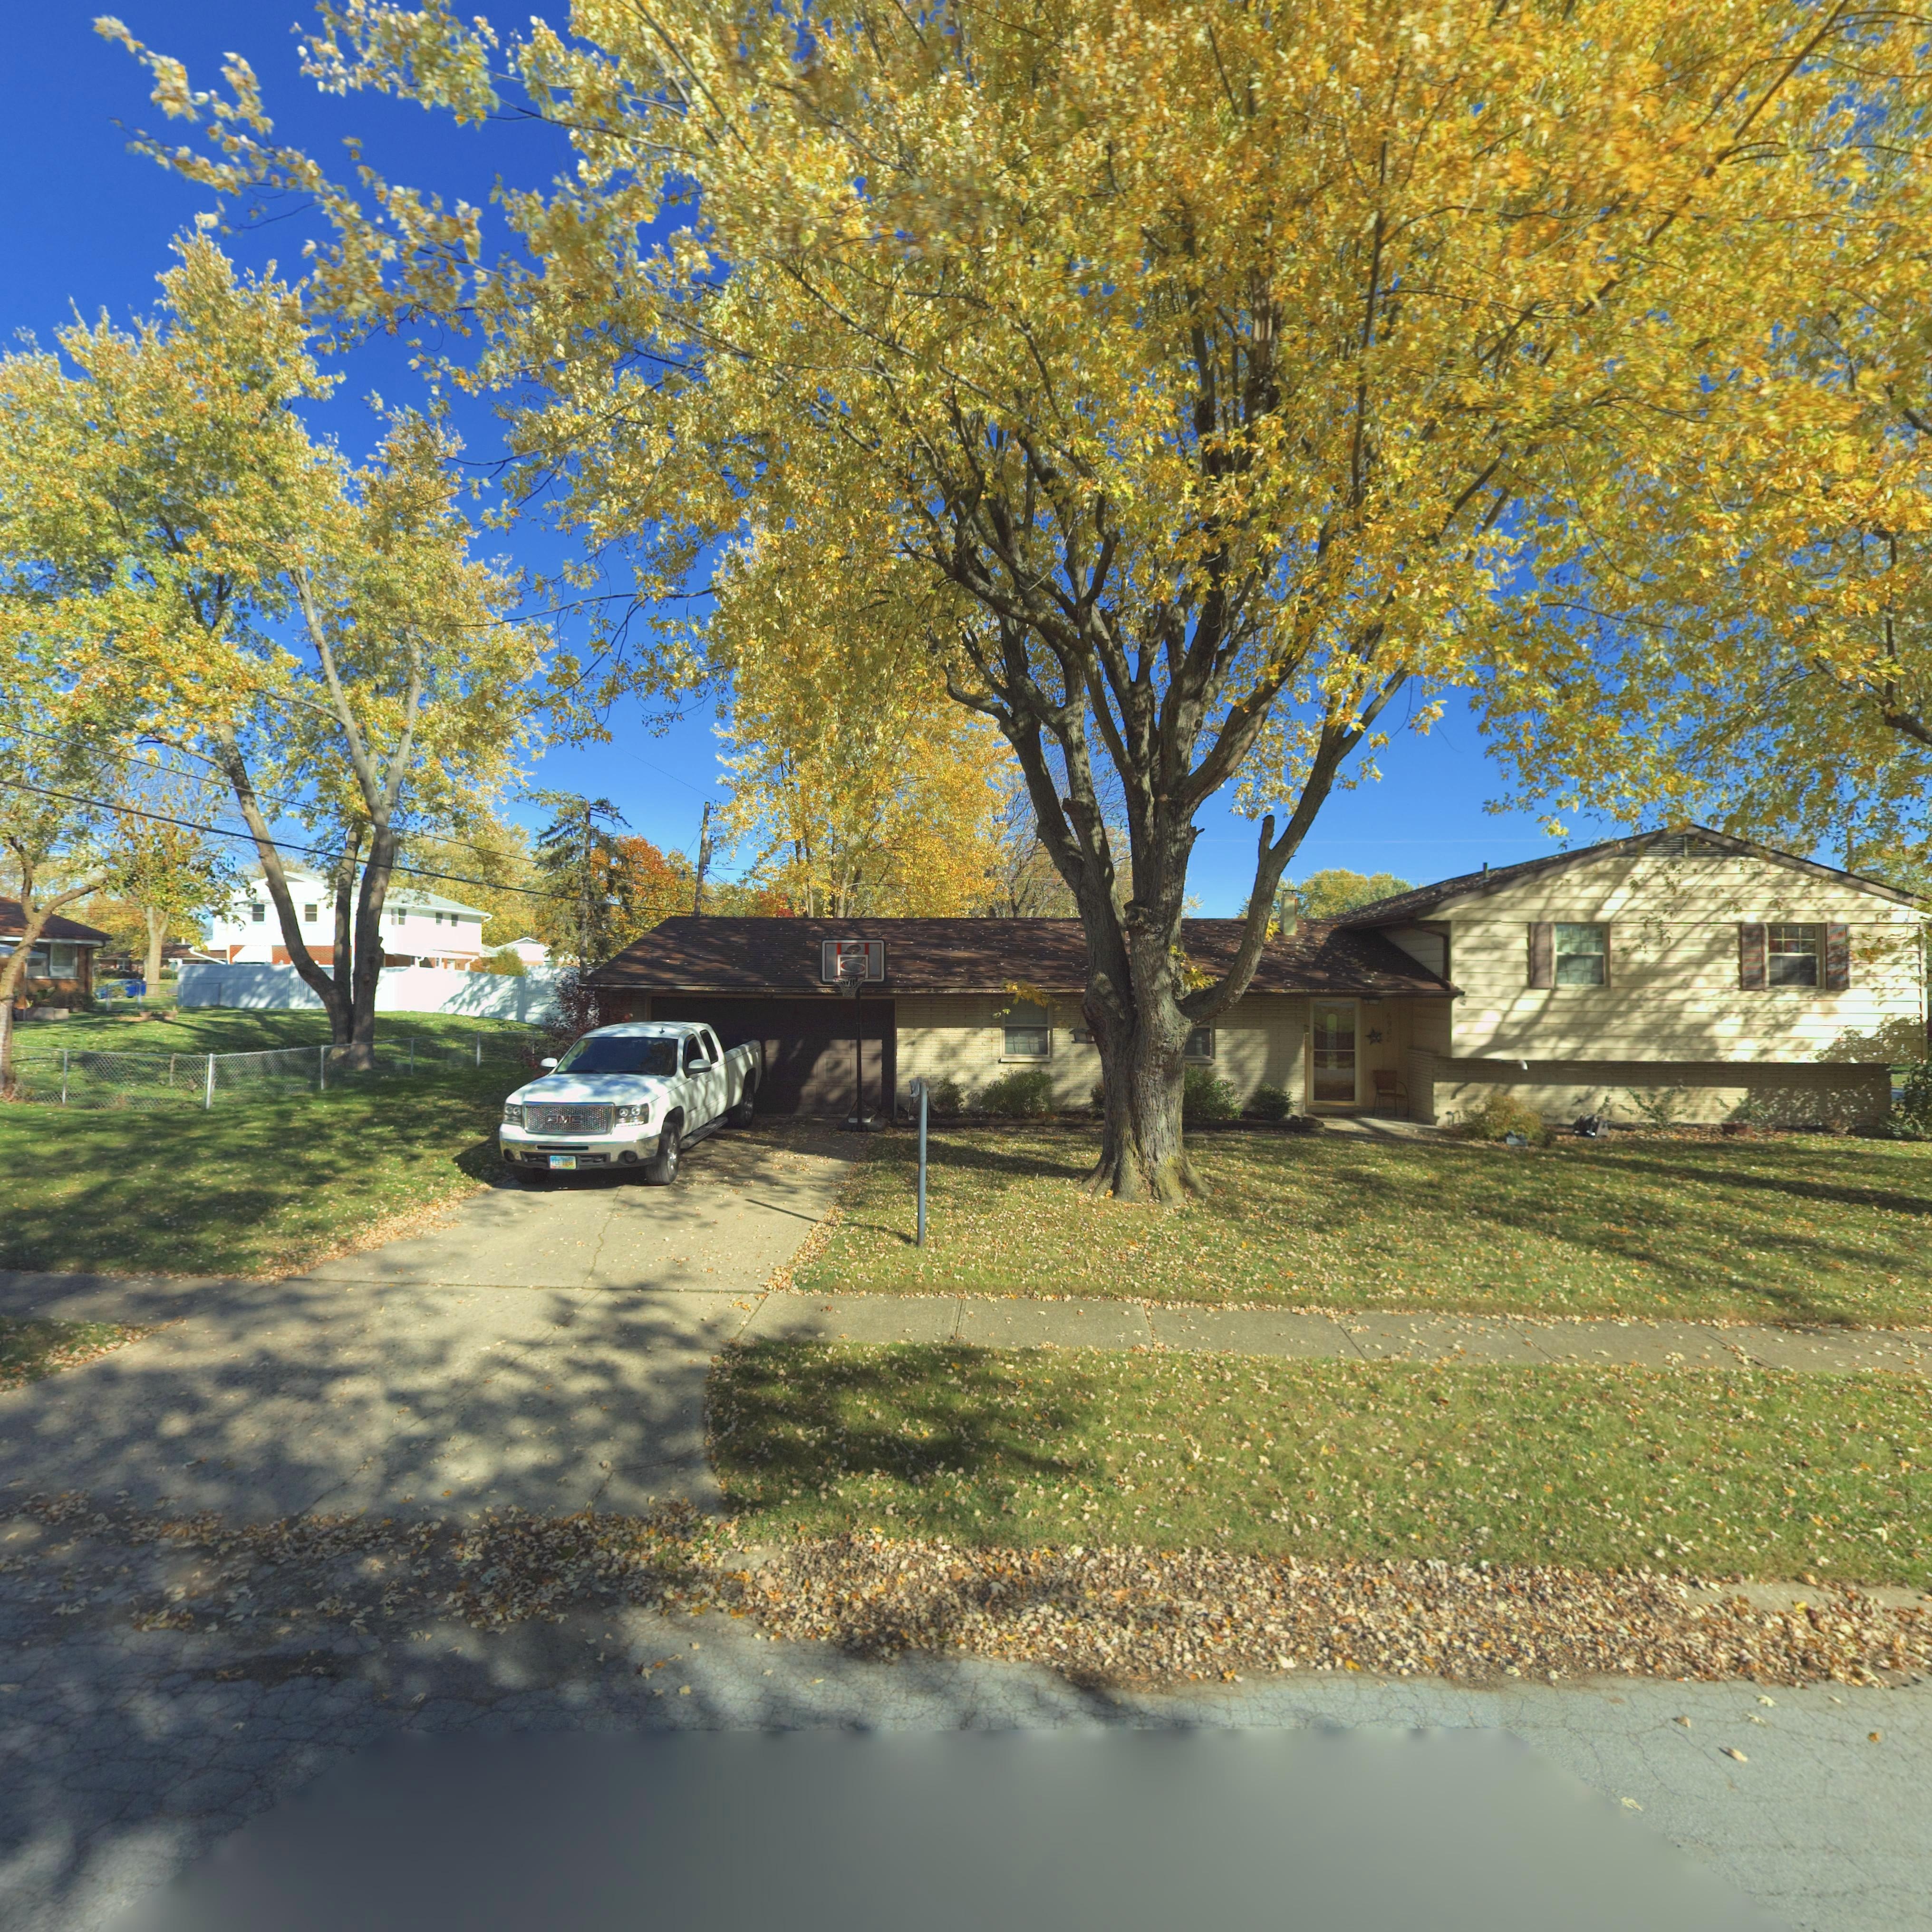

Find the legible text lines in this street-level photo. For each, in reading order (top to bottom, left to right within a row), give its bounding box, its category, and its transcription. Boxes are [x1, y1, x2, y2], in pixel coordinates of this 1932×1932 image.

[1385, 1011, 1393, 1044] StreetNumber: 6900
[546, 1114, 582, 1124] None: GMC
[551, 1159, 565, 1167] None: FCE*1